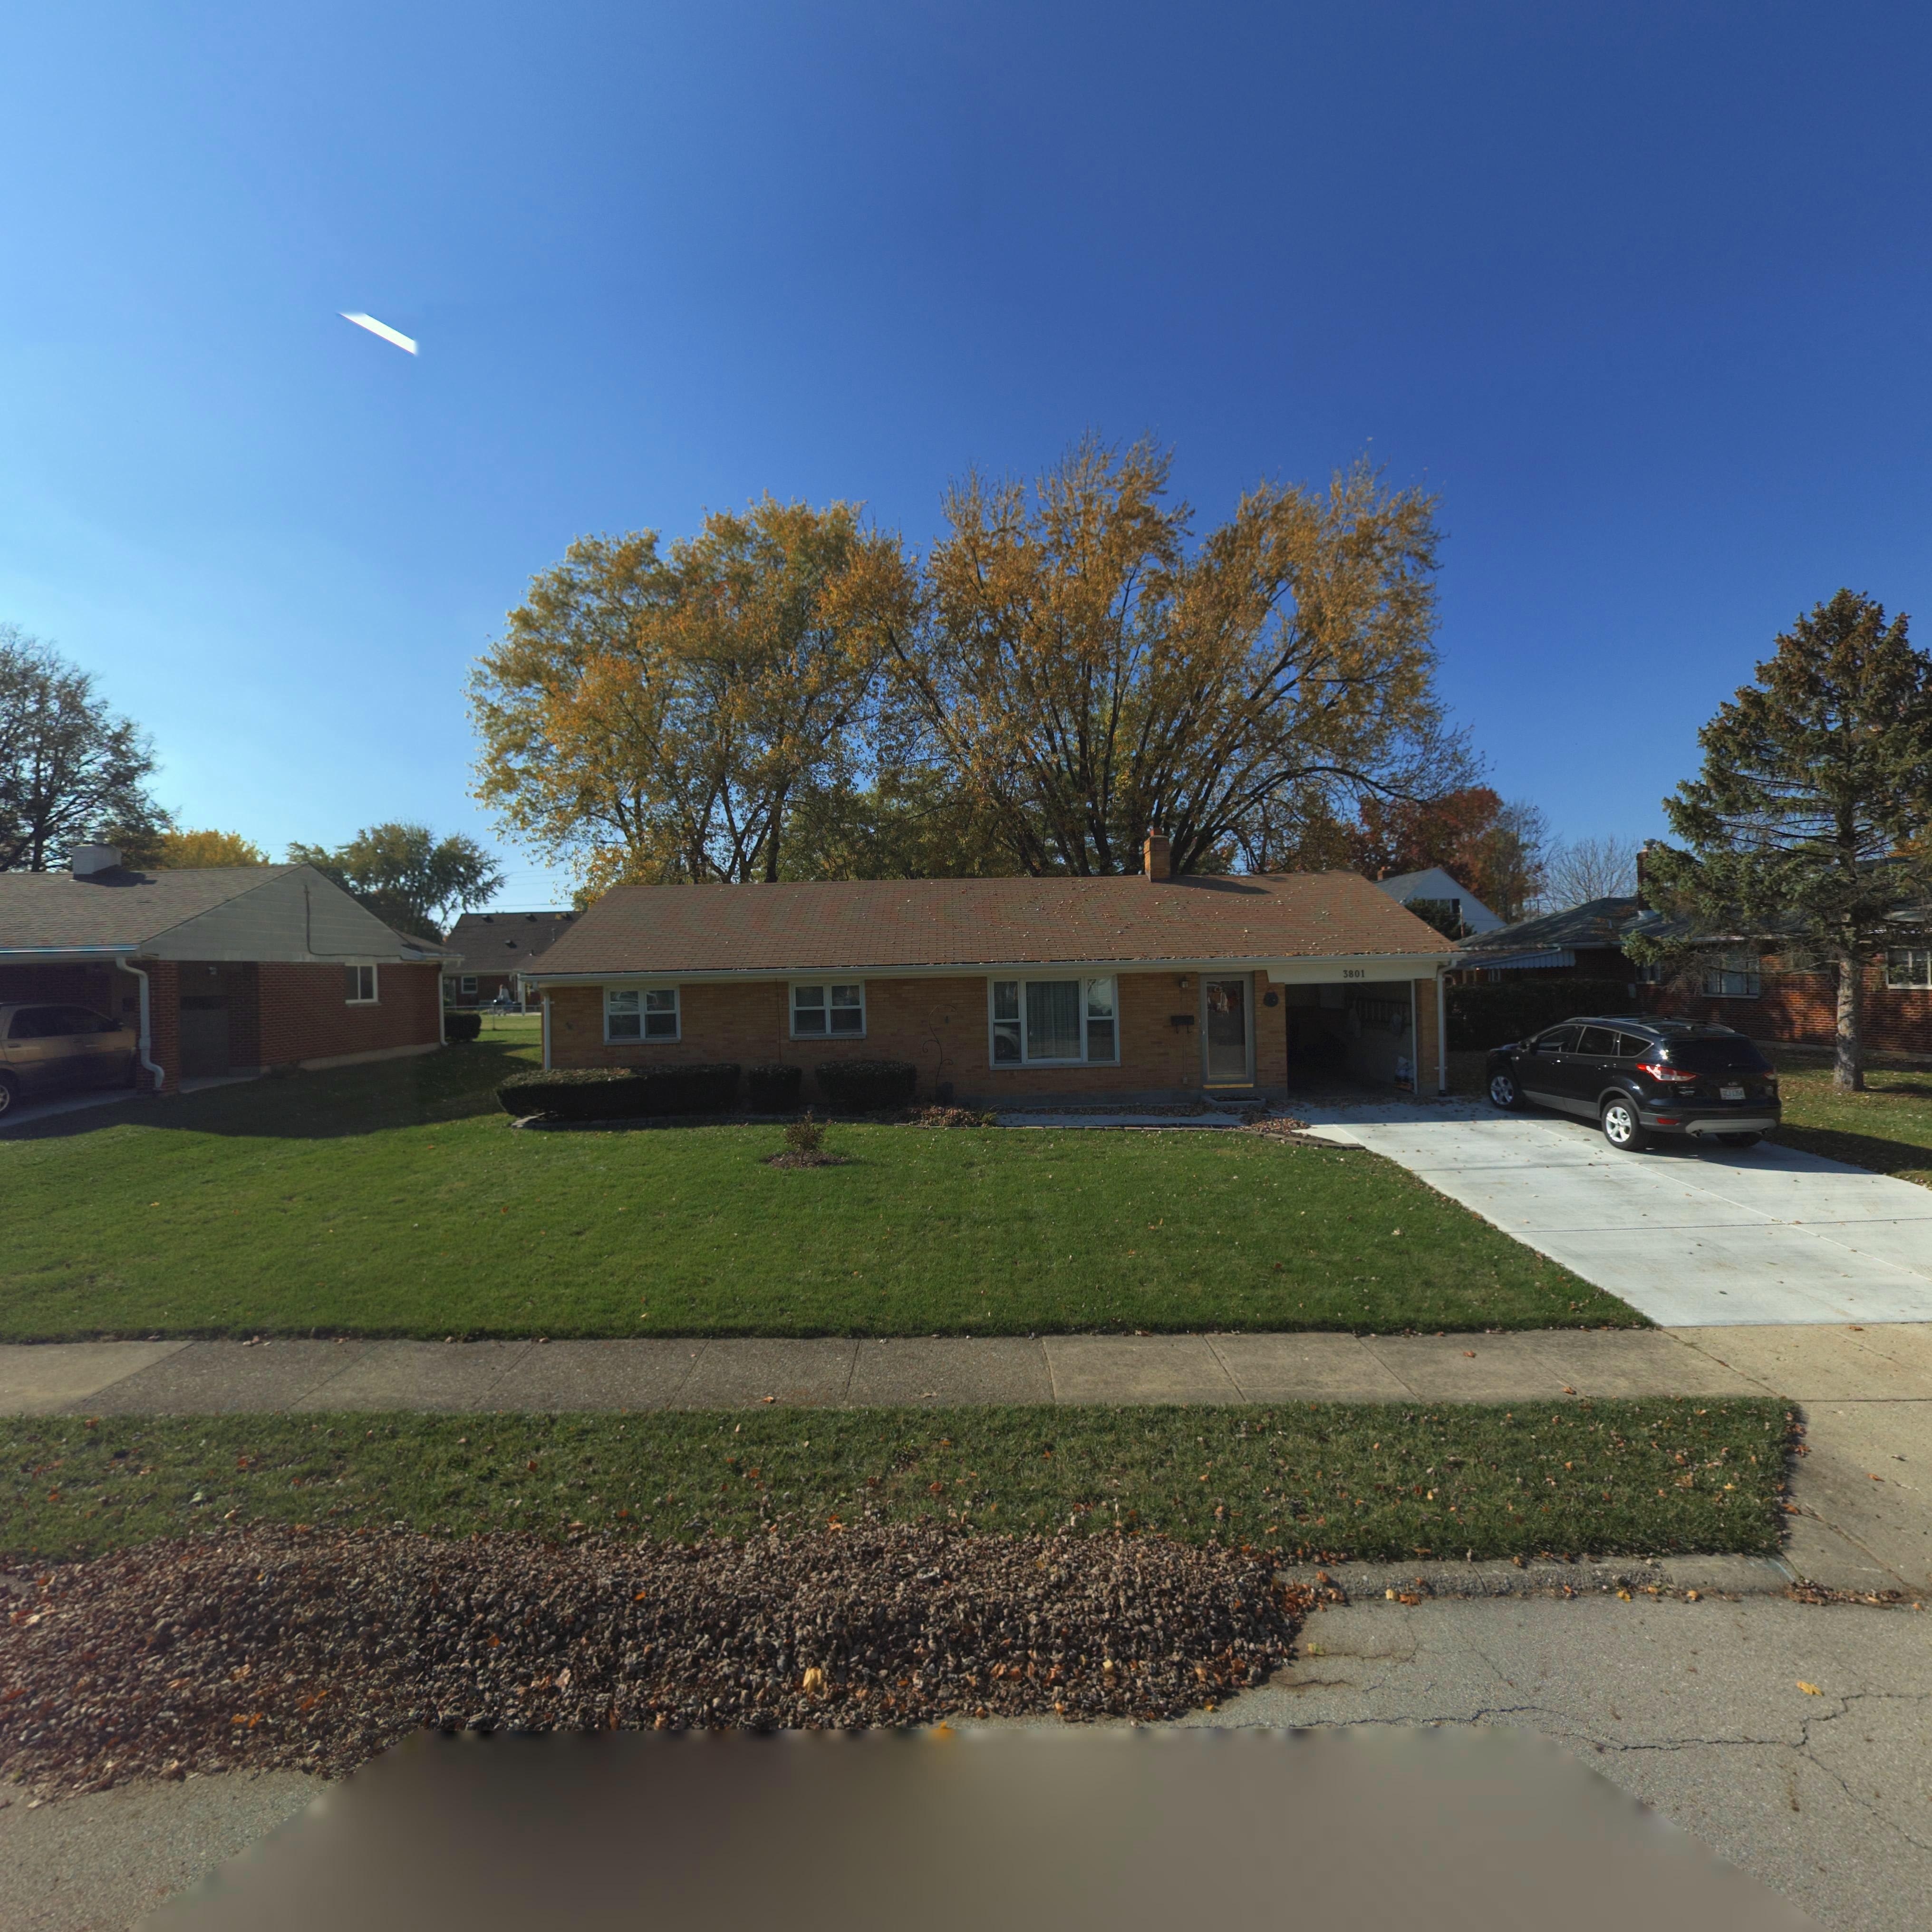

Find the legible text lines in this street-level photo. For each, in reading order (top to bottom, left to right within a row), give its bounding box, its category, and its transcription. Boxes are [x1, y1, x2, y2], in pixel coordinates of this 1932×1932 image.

[1342, 968, 1366, 979] StreetNumber: 3801
[1721, 1088, 1745, 1098] None: *** 135*